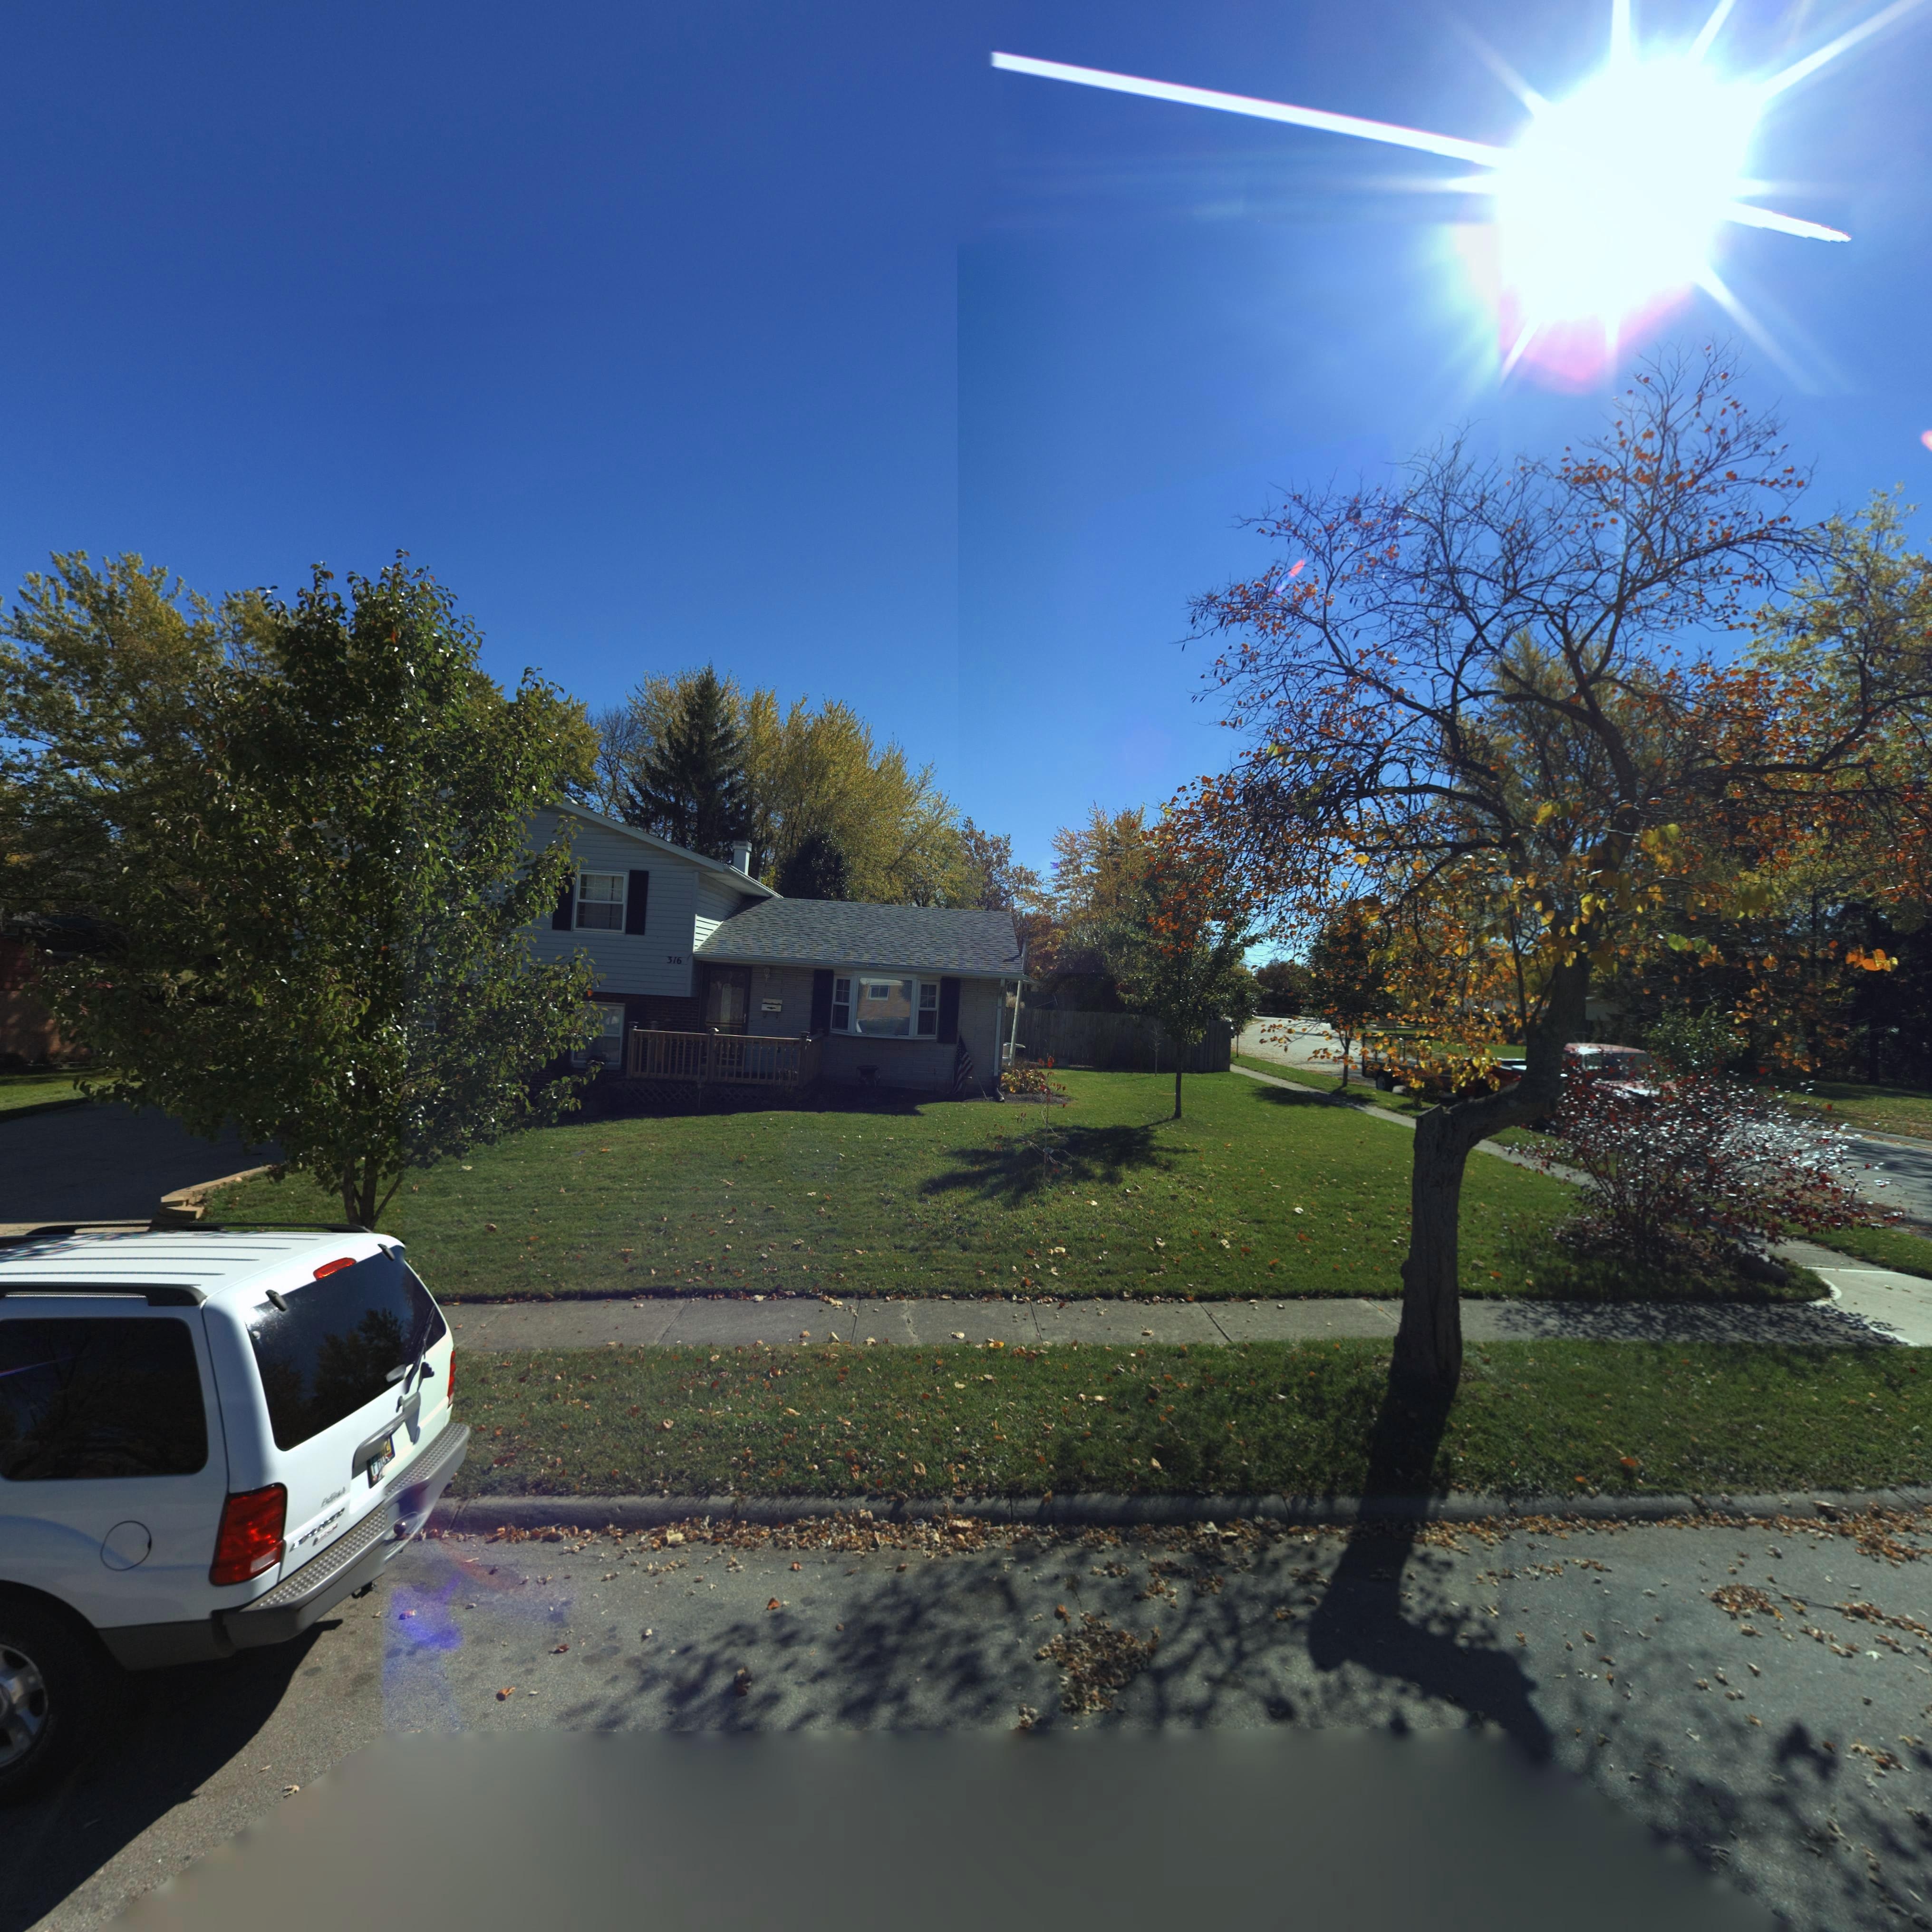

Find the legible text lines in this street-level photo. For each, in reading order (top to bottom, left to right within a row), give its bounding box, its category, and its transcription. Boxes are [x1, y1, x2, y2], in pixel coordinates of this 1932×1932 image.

[666, 956, 683, 965] StreetNumber: 316